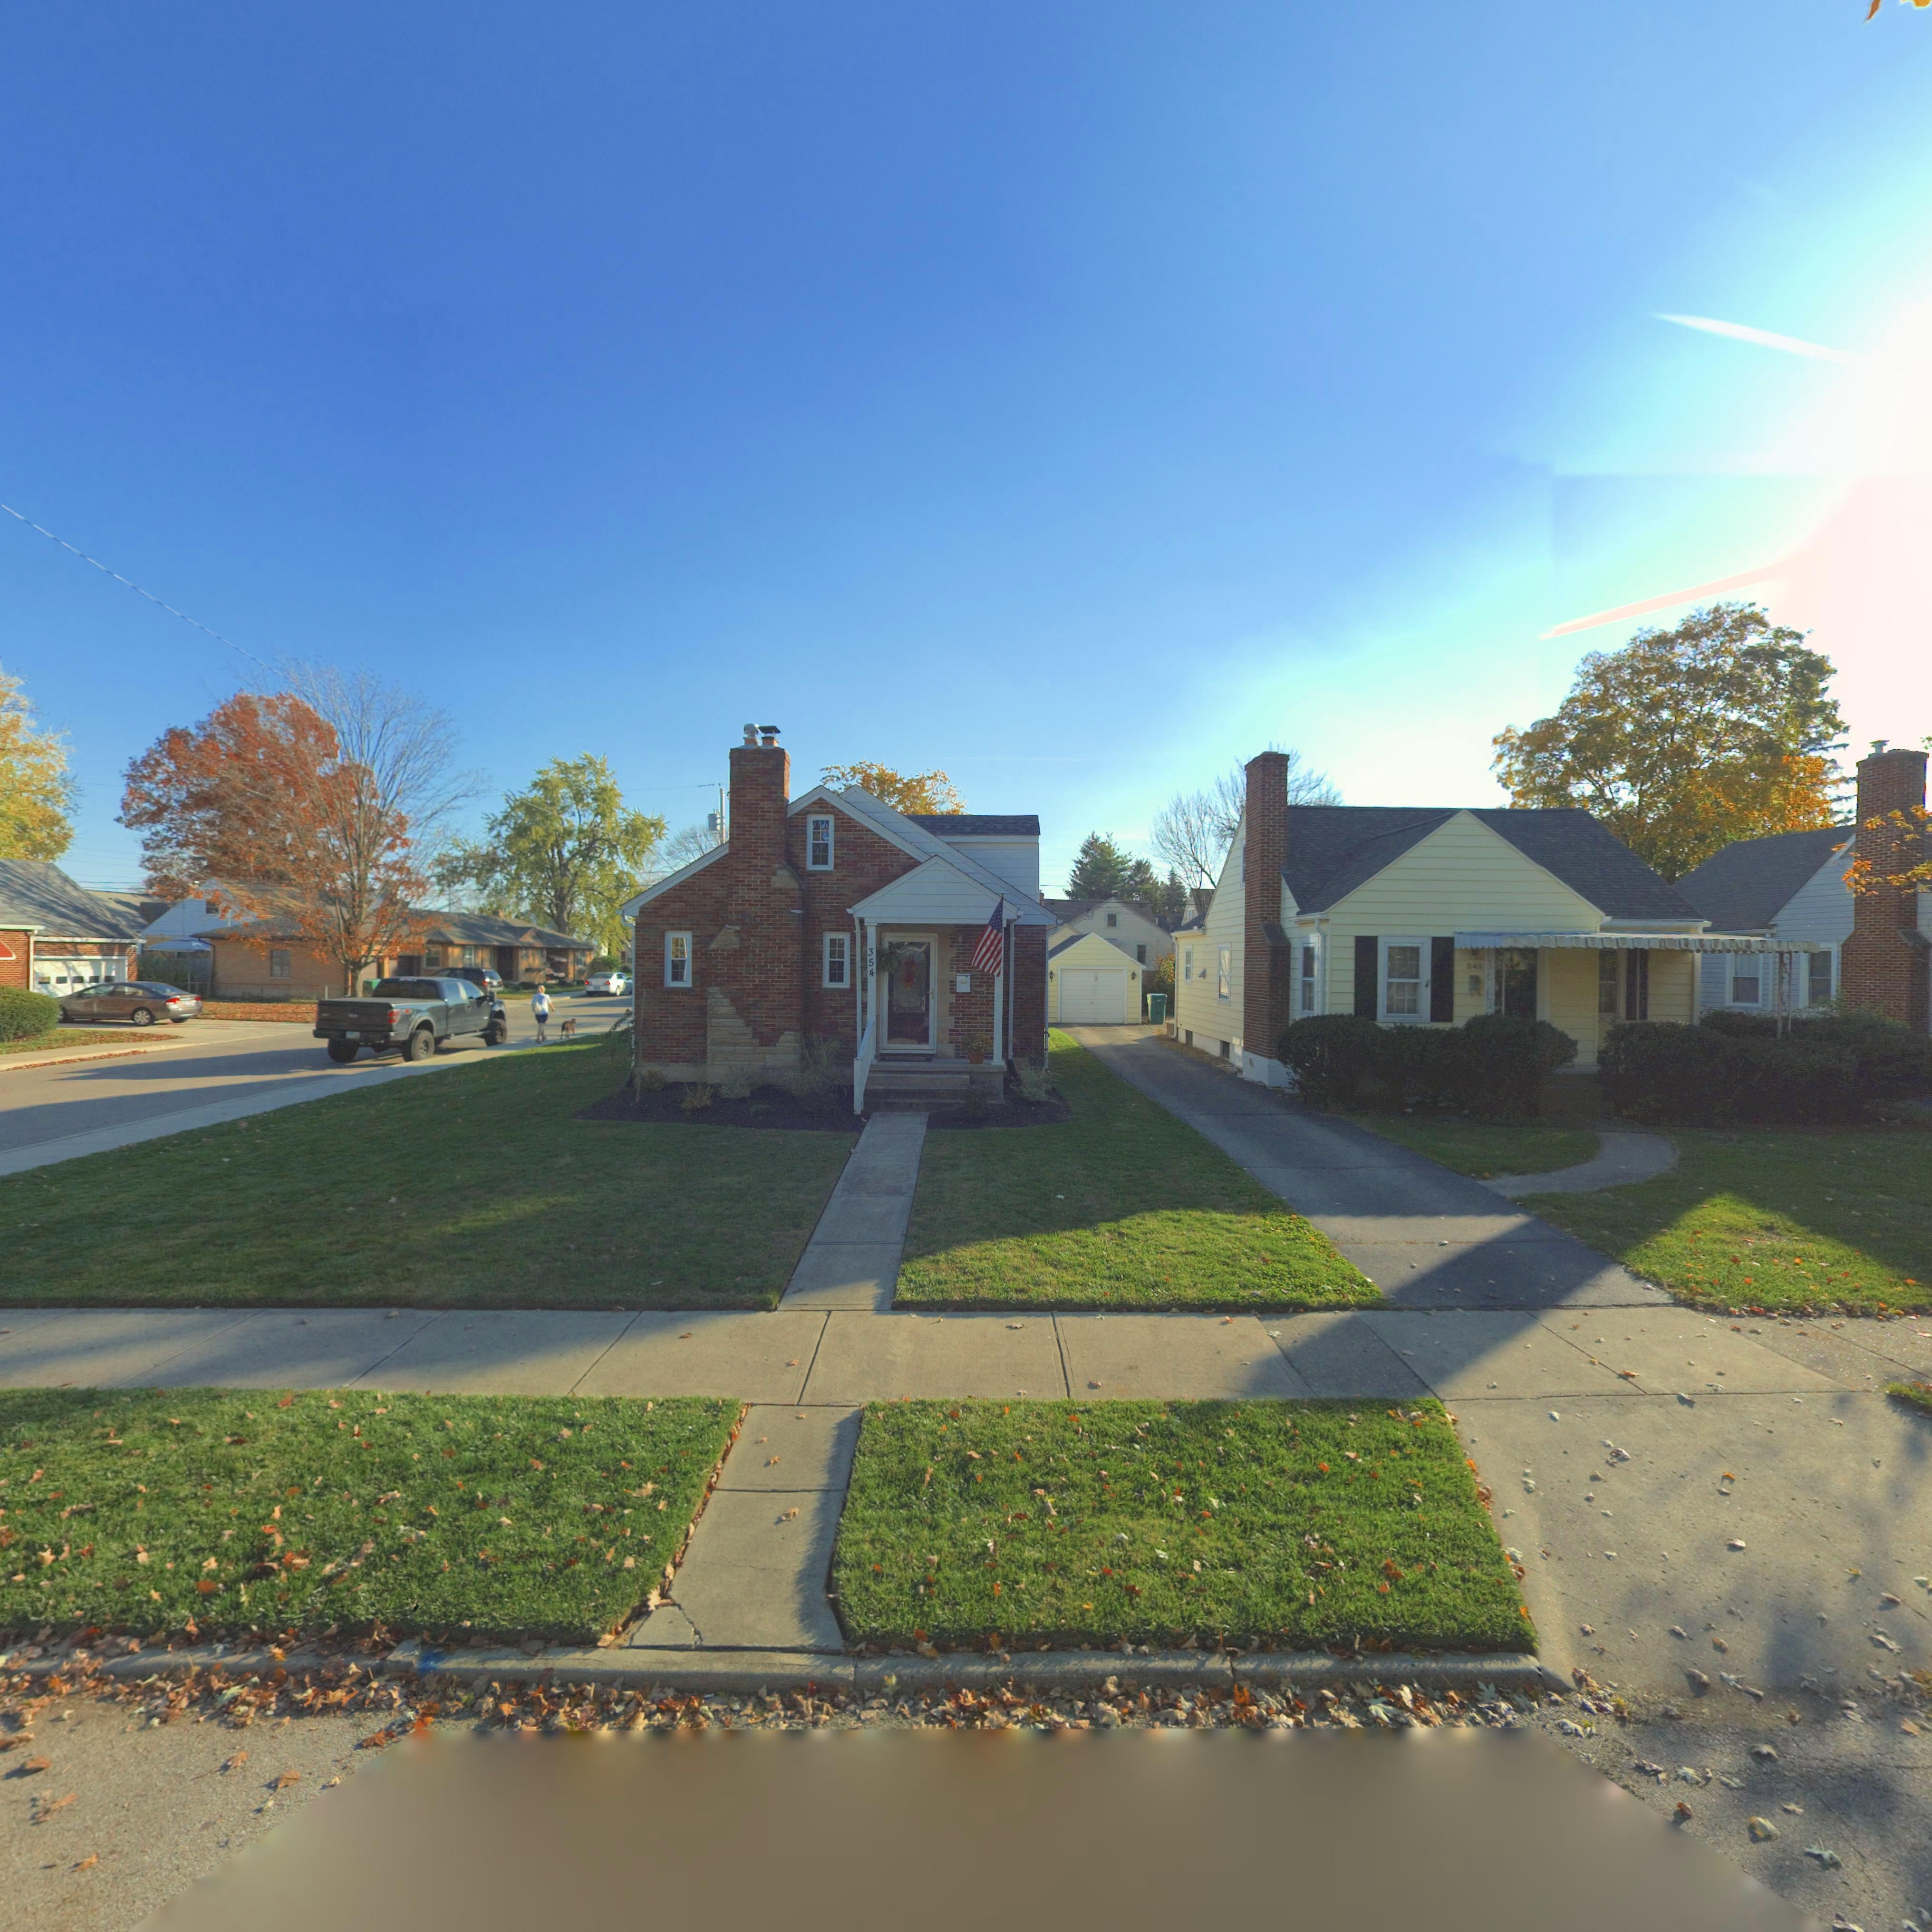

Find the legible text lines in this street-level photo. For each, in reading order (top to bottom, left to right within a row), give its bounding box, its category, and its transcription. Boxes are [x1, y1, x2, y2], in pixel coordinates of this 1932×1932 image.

[867, 947, 875, 977] StreetNumber: 354
[1466, 962, 1483, 970] StreetNumber: 348